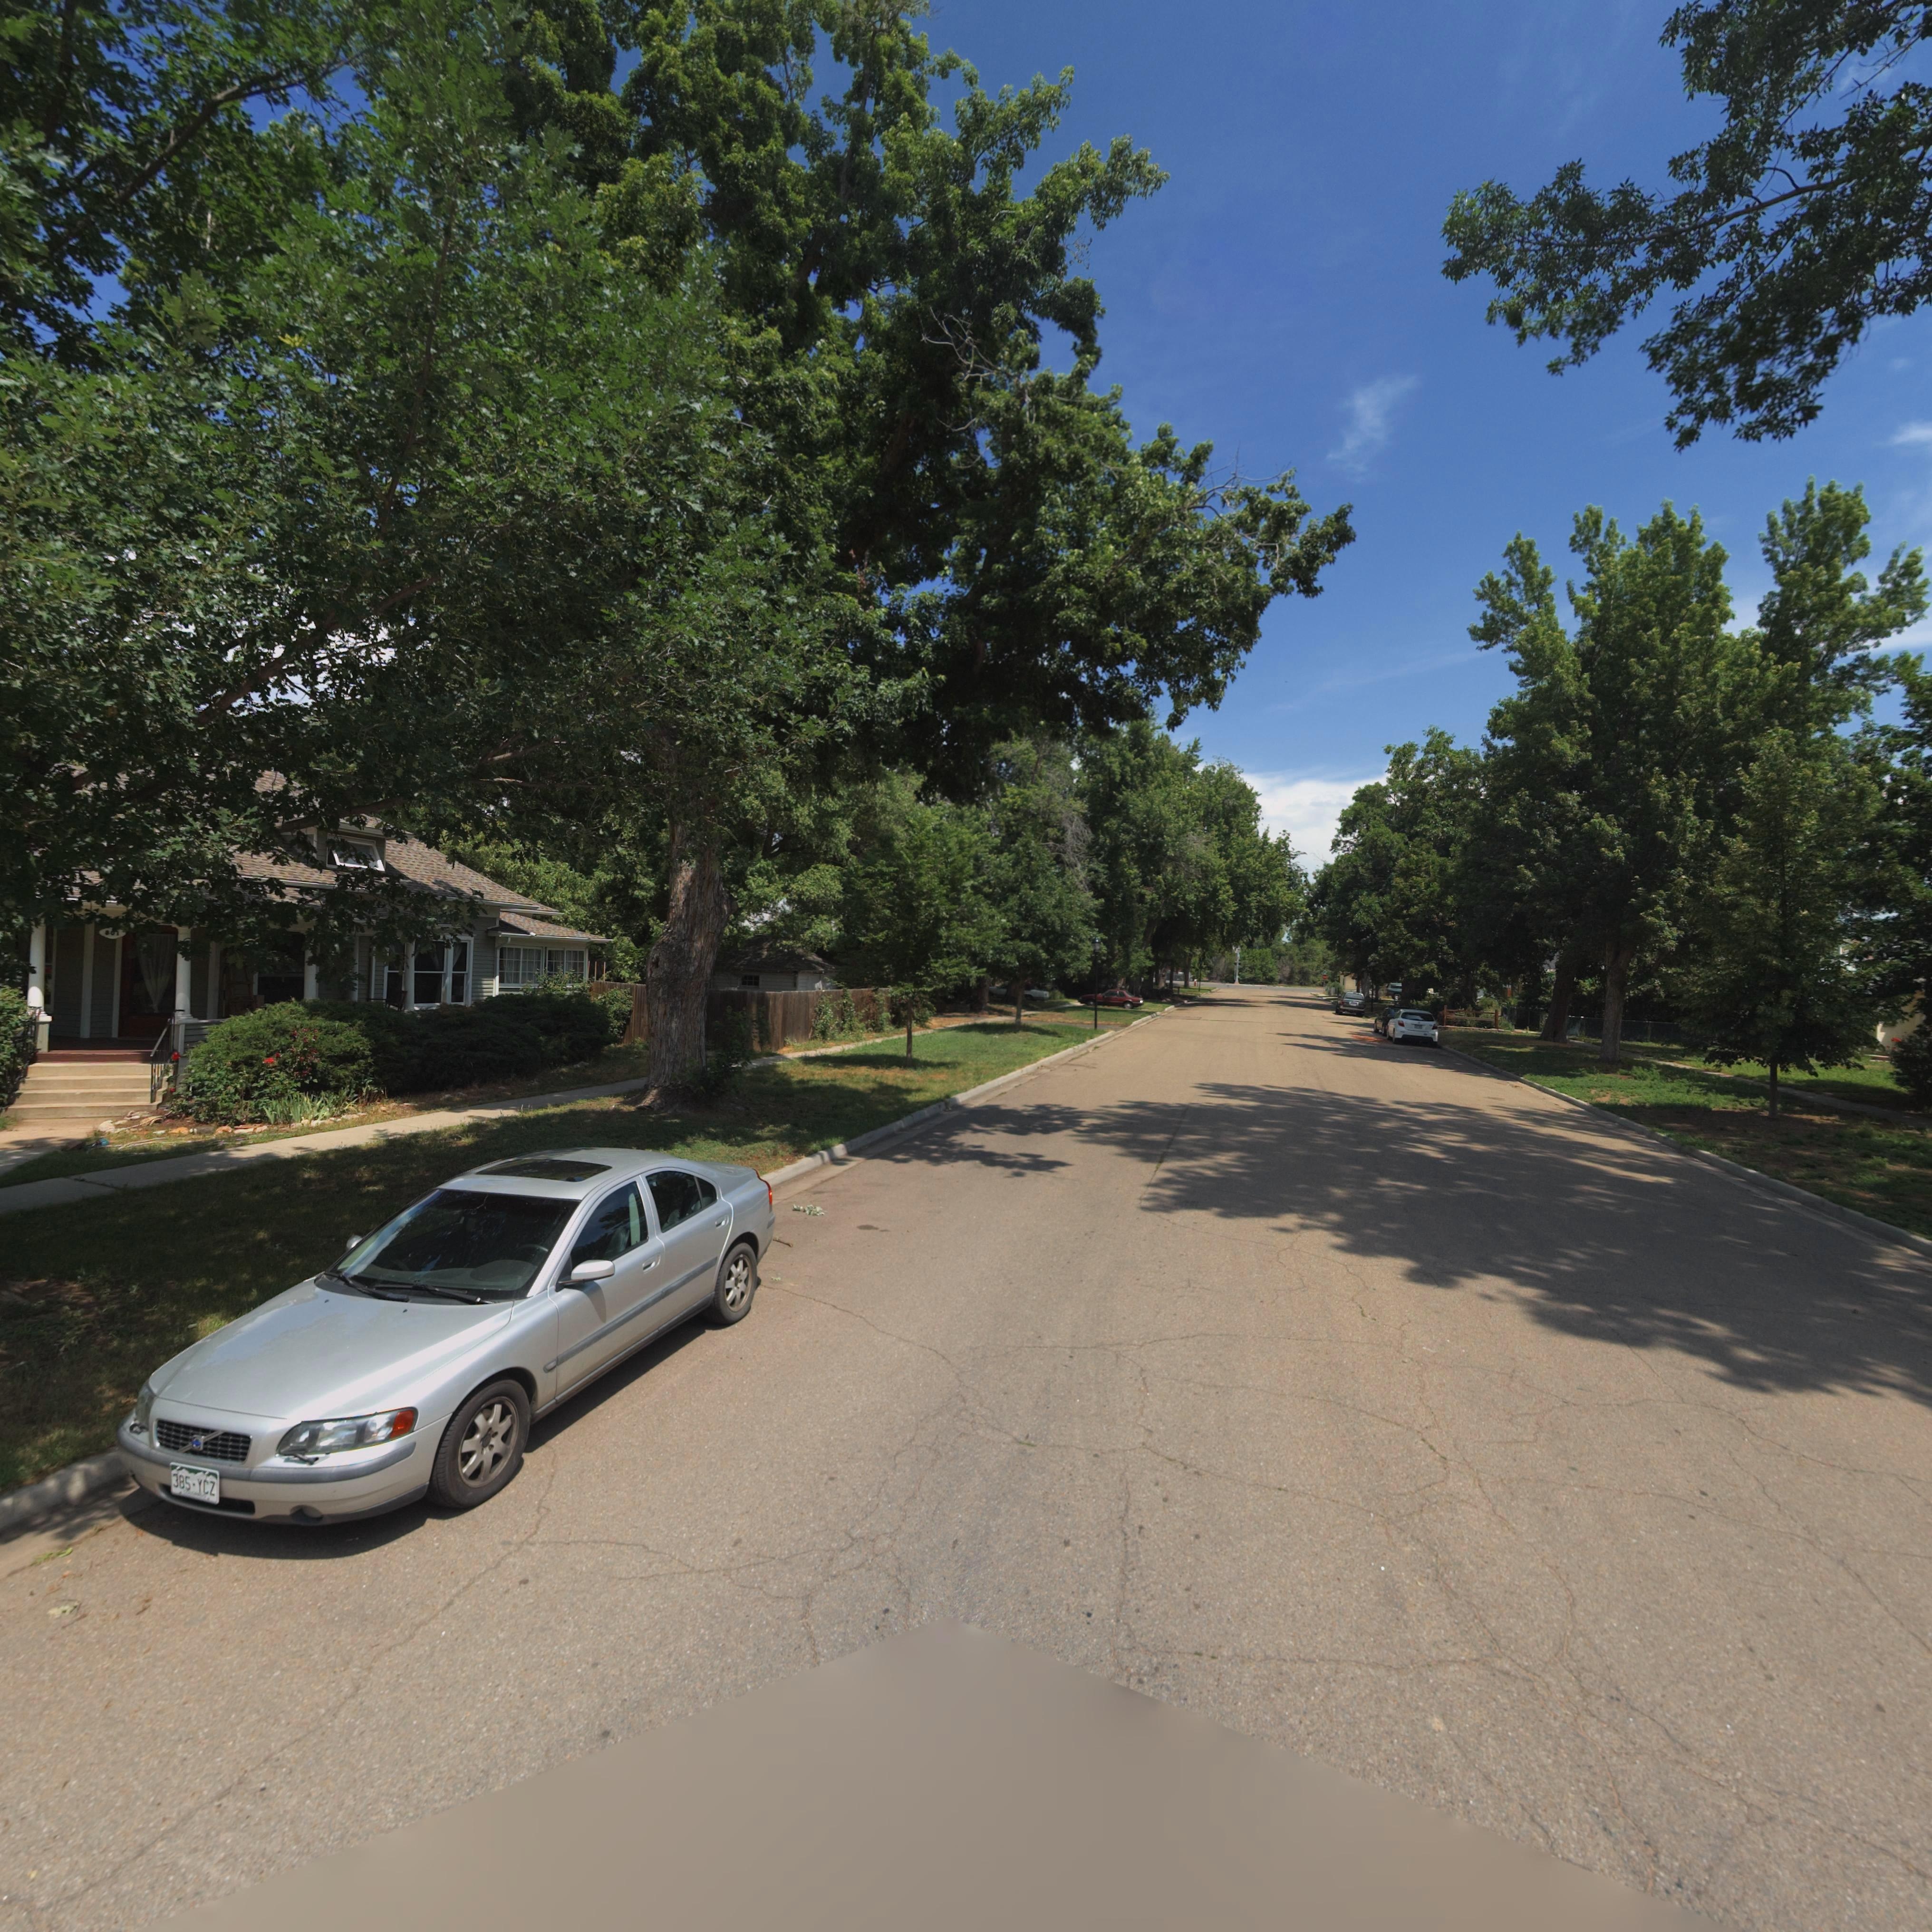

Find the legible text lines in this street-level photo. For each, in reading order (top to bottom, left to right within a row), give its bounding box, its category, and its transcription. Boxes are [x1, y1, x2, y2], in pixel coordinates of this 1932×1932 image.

[104, 930, 119, 936] StreetNumber: 8*1